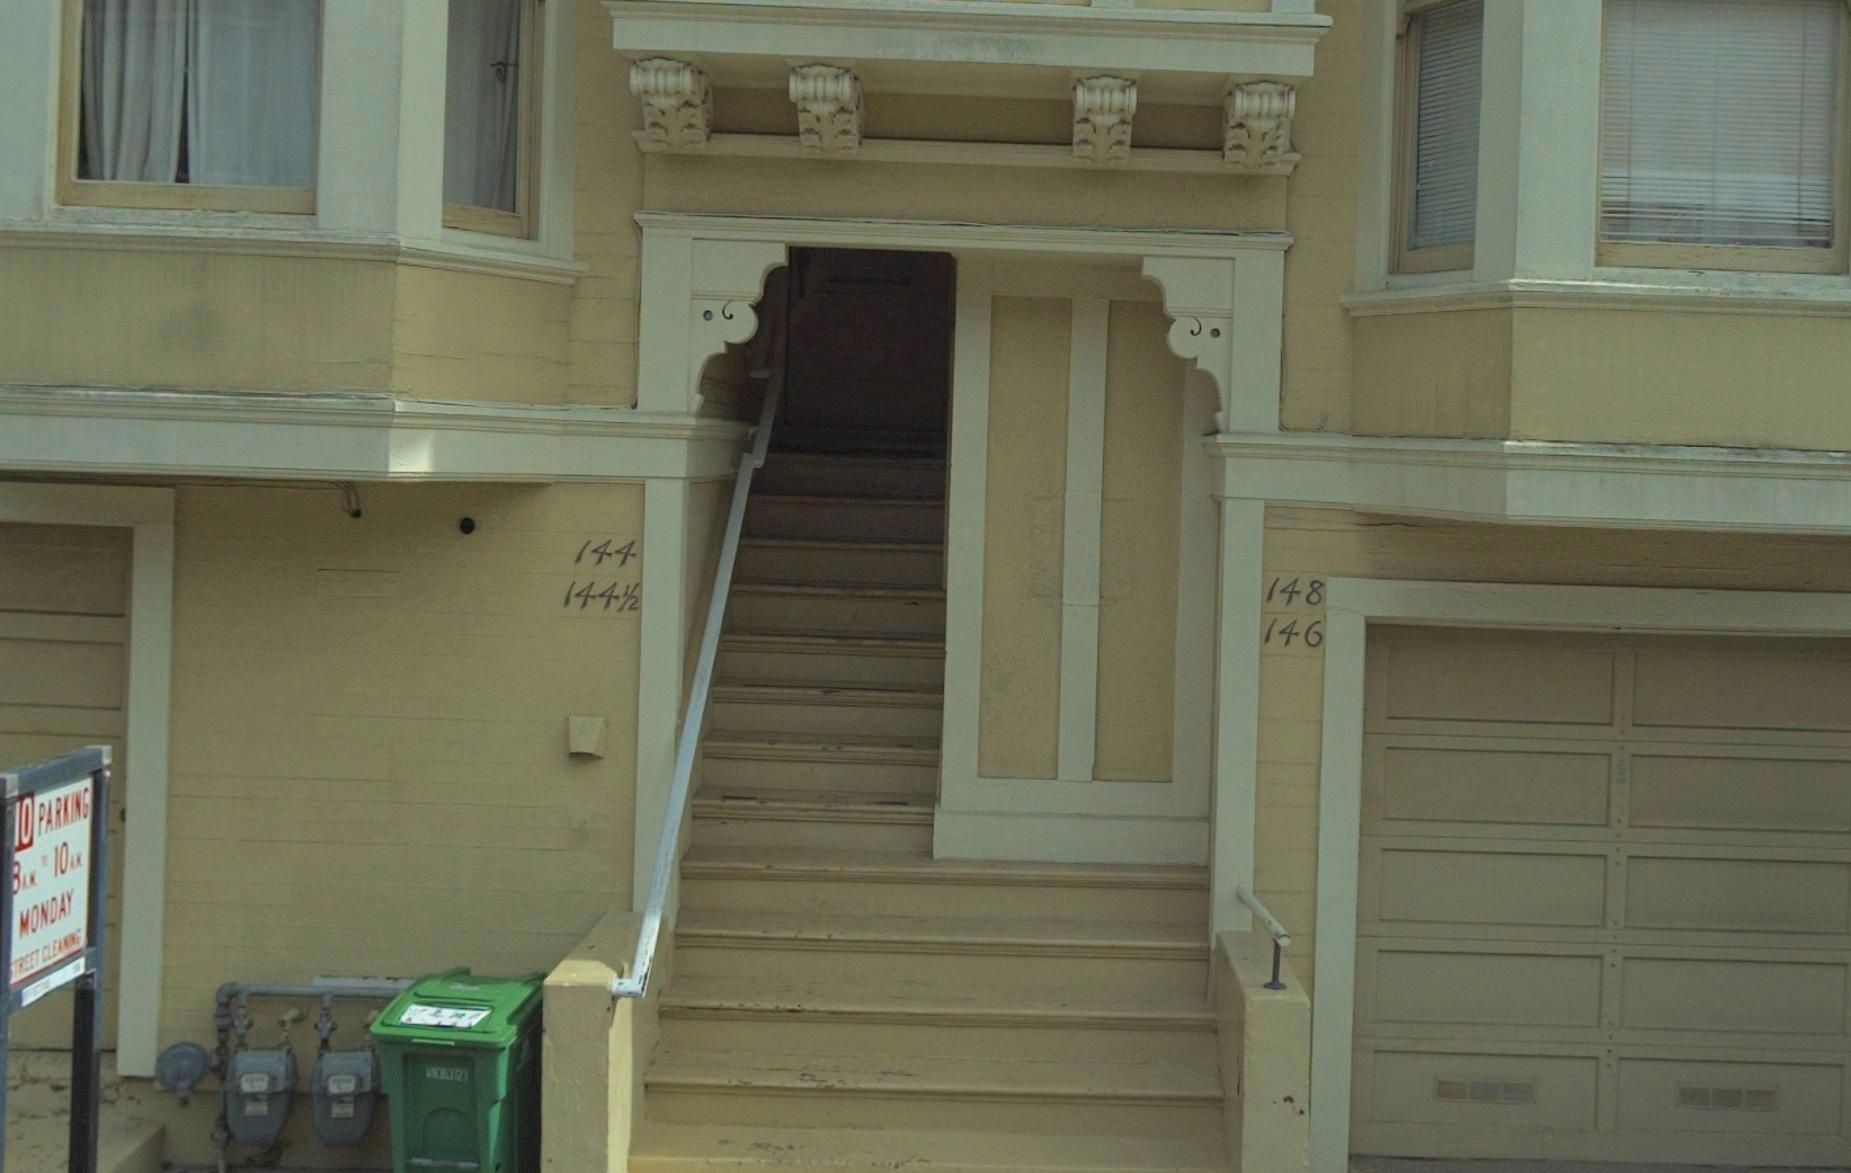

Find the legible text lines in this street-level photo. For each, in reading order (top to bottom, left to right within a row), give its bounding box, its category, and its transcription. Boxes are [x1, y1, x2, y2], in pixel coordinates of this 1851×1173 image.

[568, 537, 639, 569] StreetNumber: 144
[560, 578, 643, 615] StreetNumber: 144 1/2
[1264, 575, 1326, 608] StreetNumber: 148
[1261, 615, 1327, 650] StreetNumber: 146
[20, 783, 92, 848] None: O PARKING
[51, 837, 71, 880] None: 10
[16, 882, 78, 945] None: MONDAY
[10, 934, 60, 982] None: TREET CLE